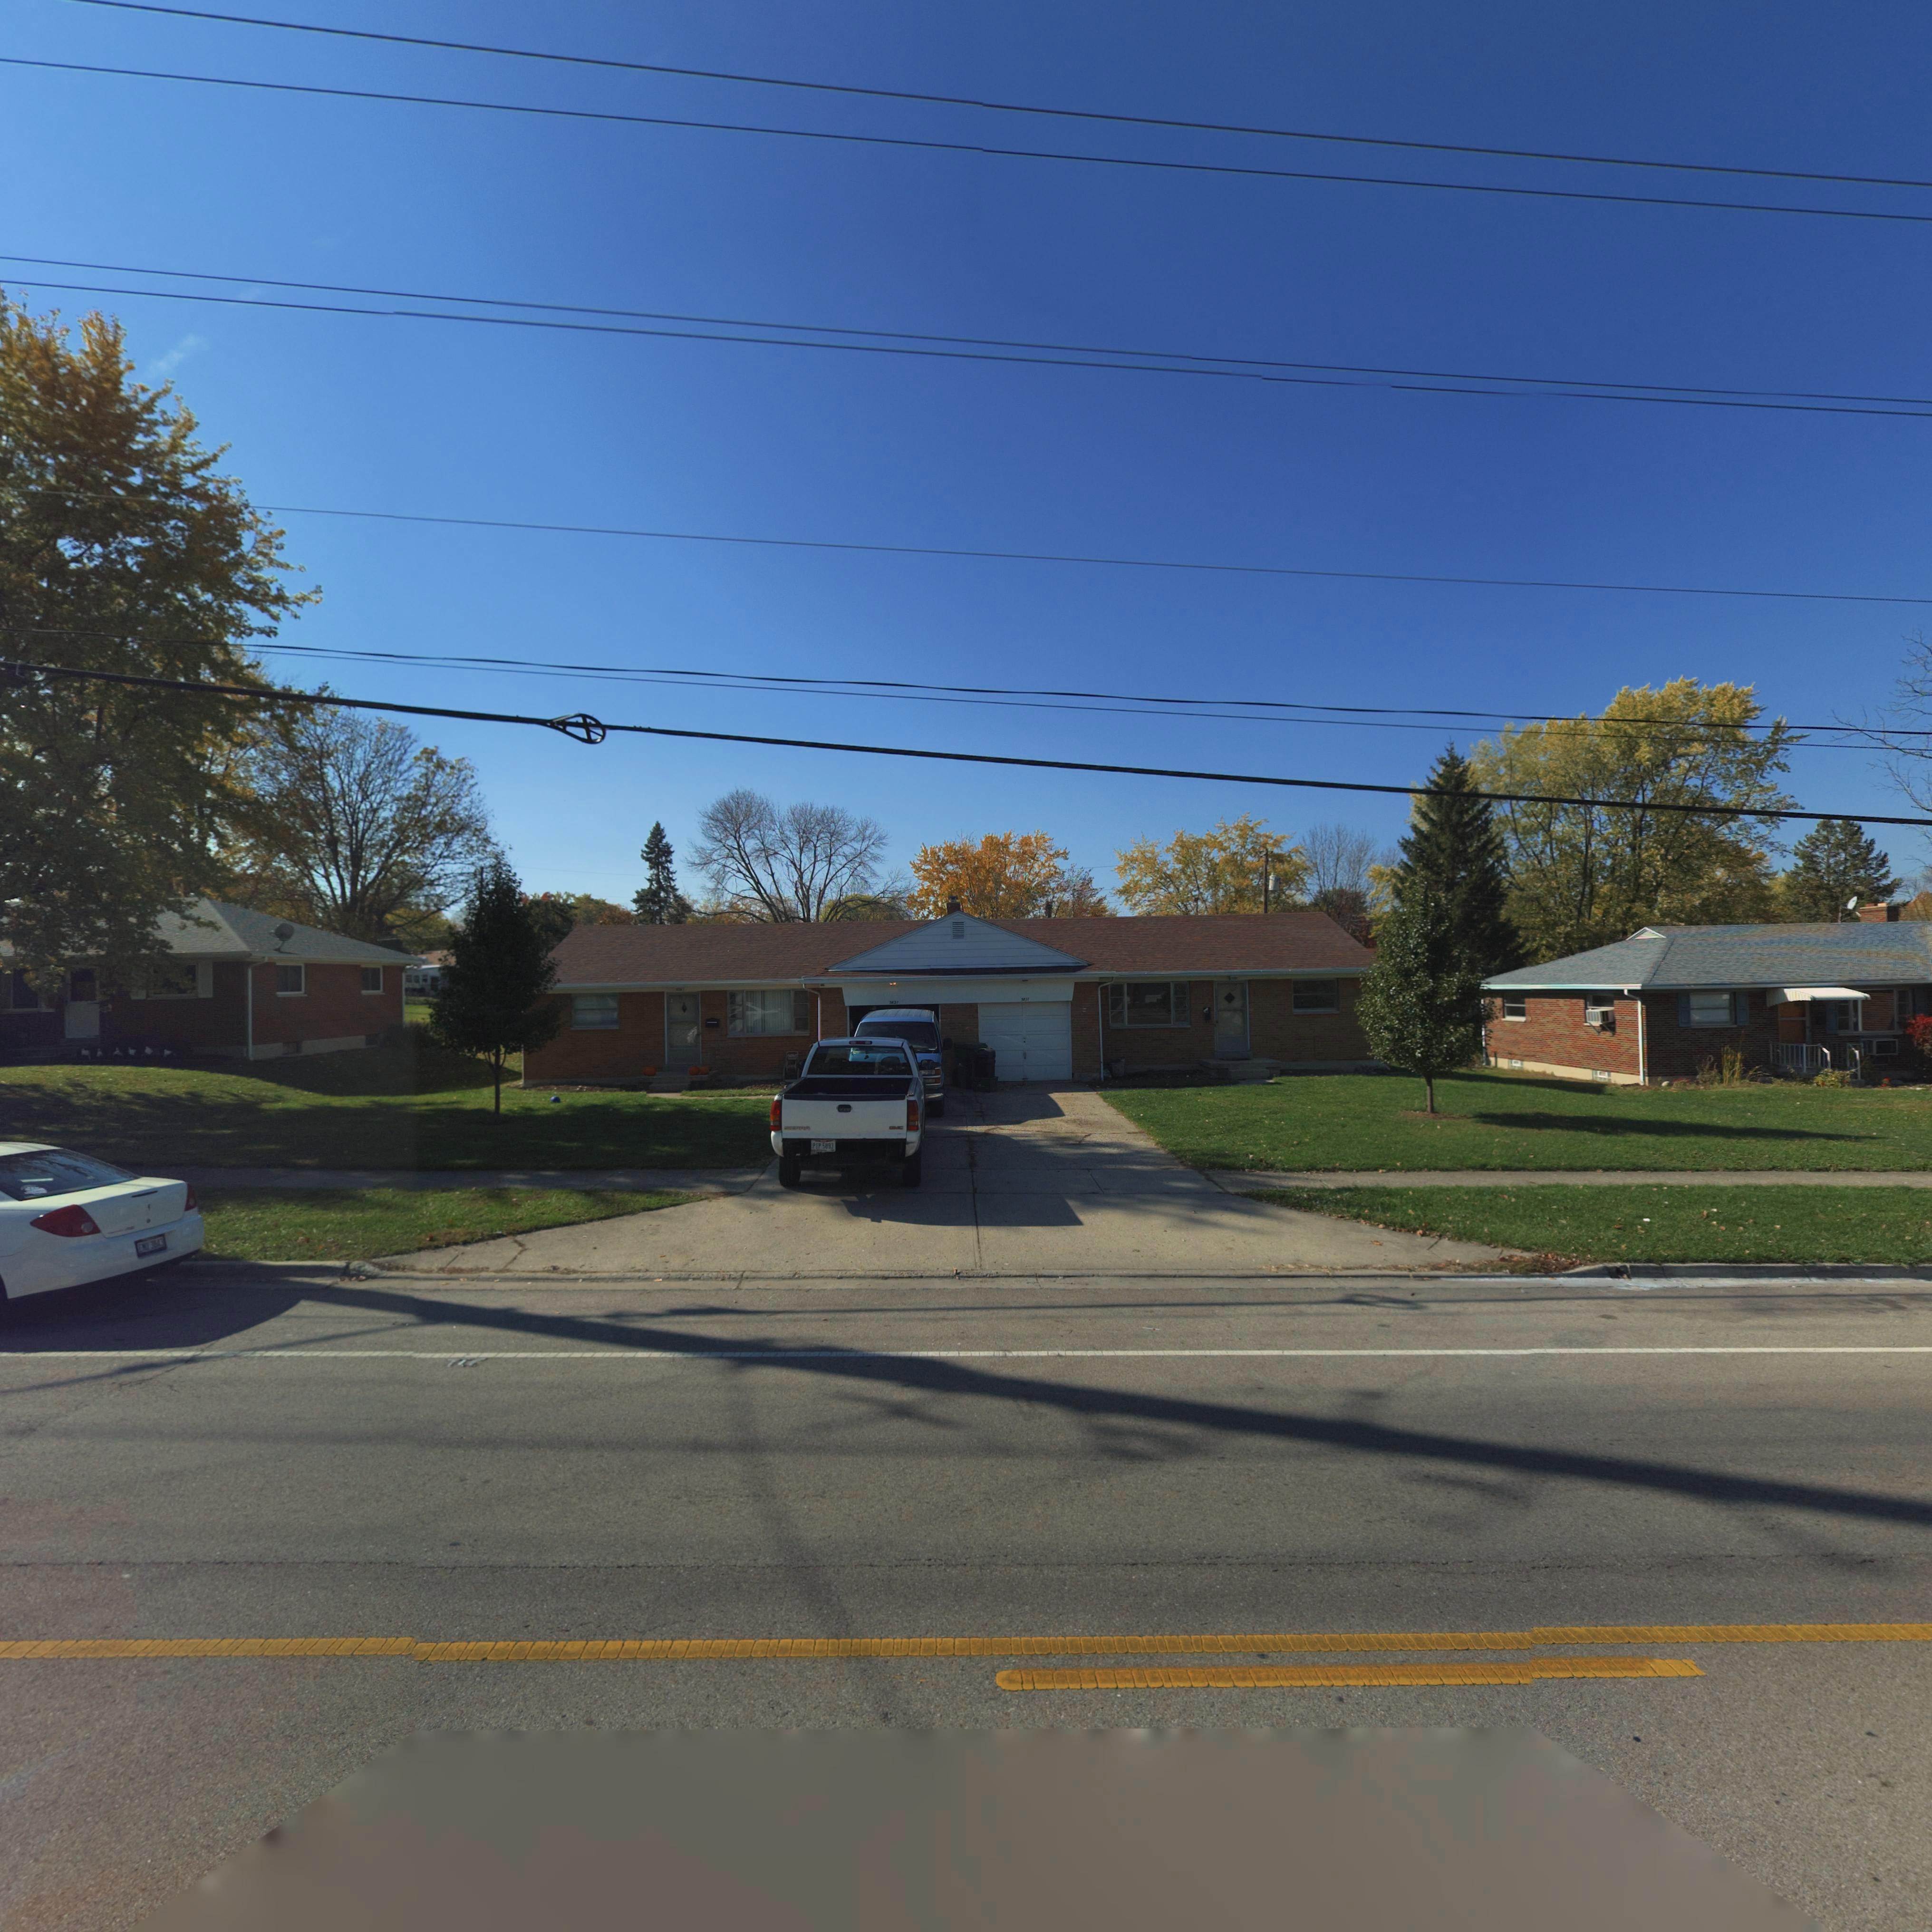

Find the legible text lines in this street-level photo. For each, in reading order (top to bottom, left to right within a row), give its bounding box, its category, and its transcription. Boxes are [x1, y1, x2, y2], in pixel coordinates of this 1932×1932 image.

[1020, 997, 1030, 1002] StreetNumber: 3817
[889, 1000, 898, 1005] StreetNumber: 3821
[782, 1126, 811, 1131] None: SIERRA
[889, 1125, 904, 1130] None: GMC
[811, 1142, 834, 1150] None: PIP 5893